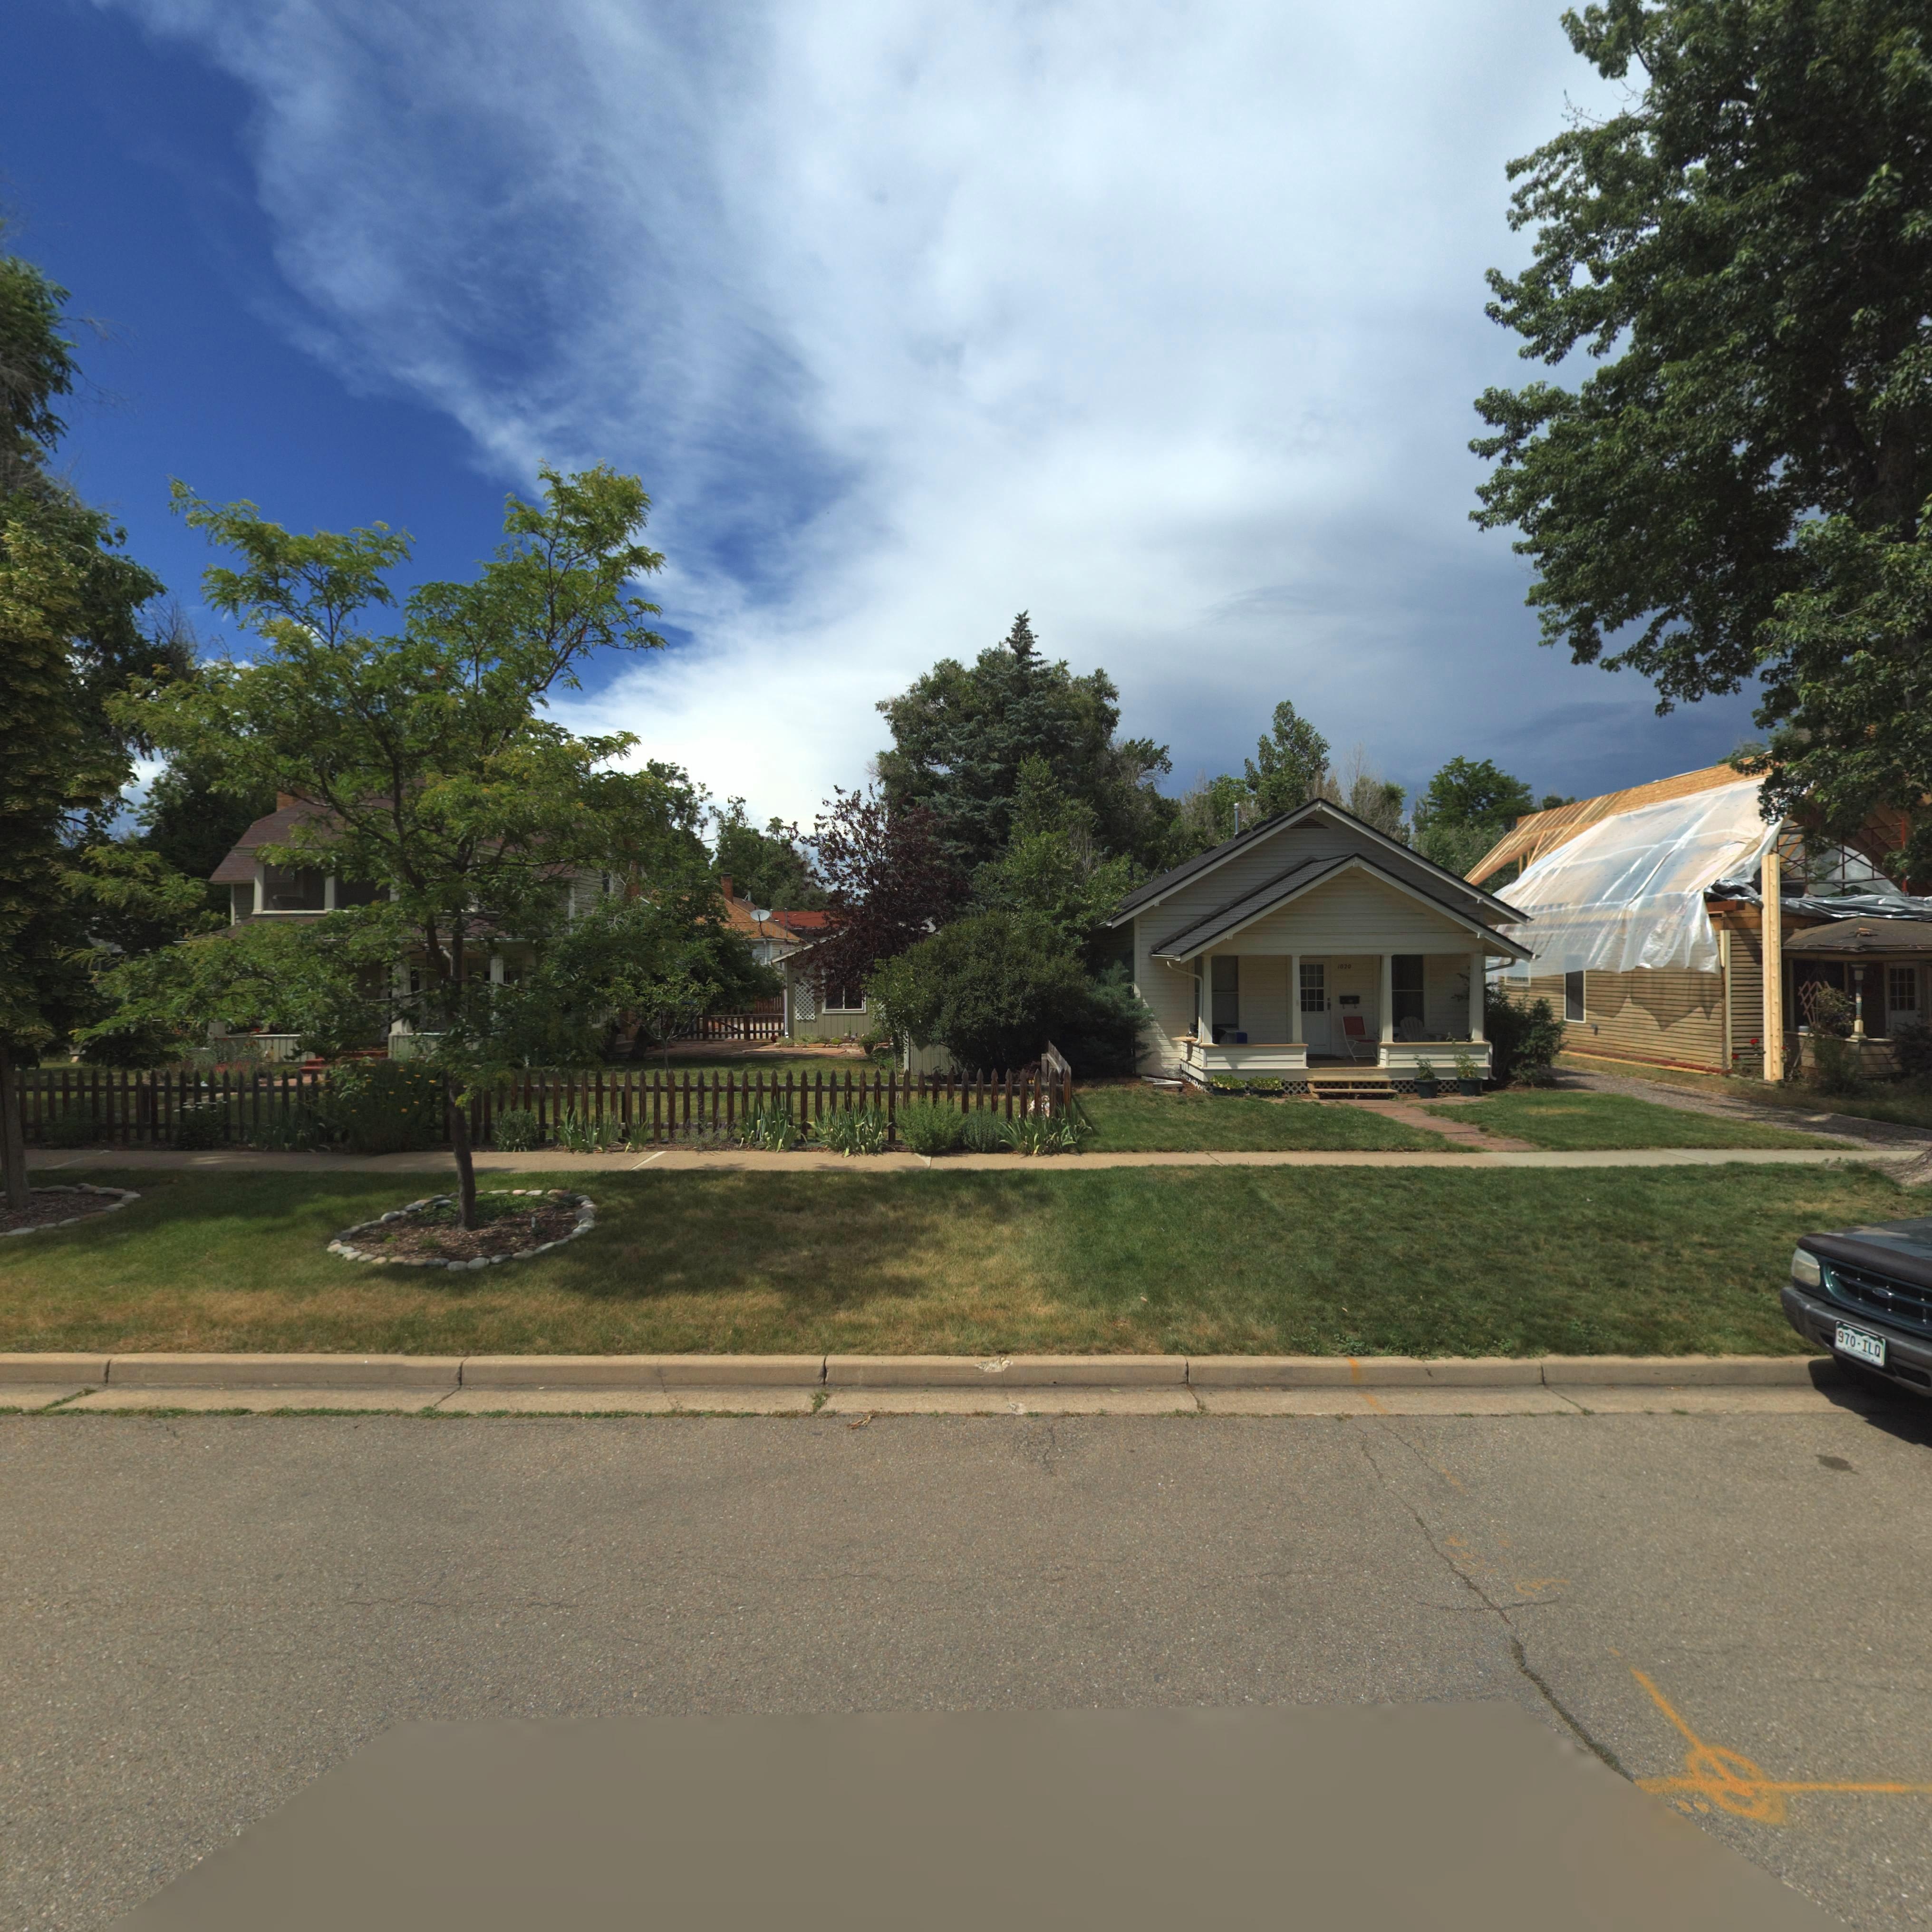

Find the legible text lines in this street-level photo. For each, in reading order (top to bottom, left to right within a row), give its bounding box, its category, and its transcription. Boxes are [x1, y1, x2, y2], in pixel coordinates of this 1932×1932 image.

[1337, 963, 1352, 969] StreetNumber: 1020